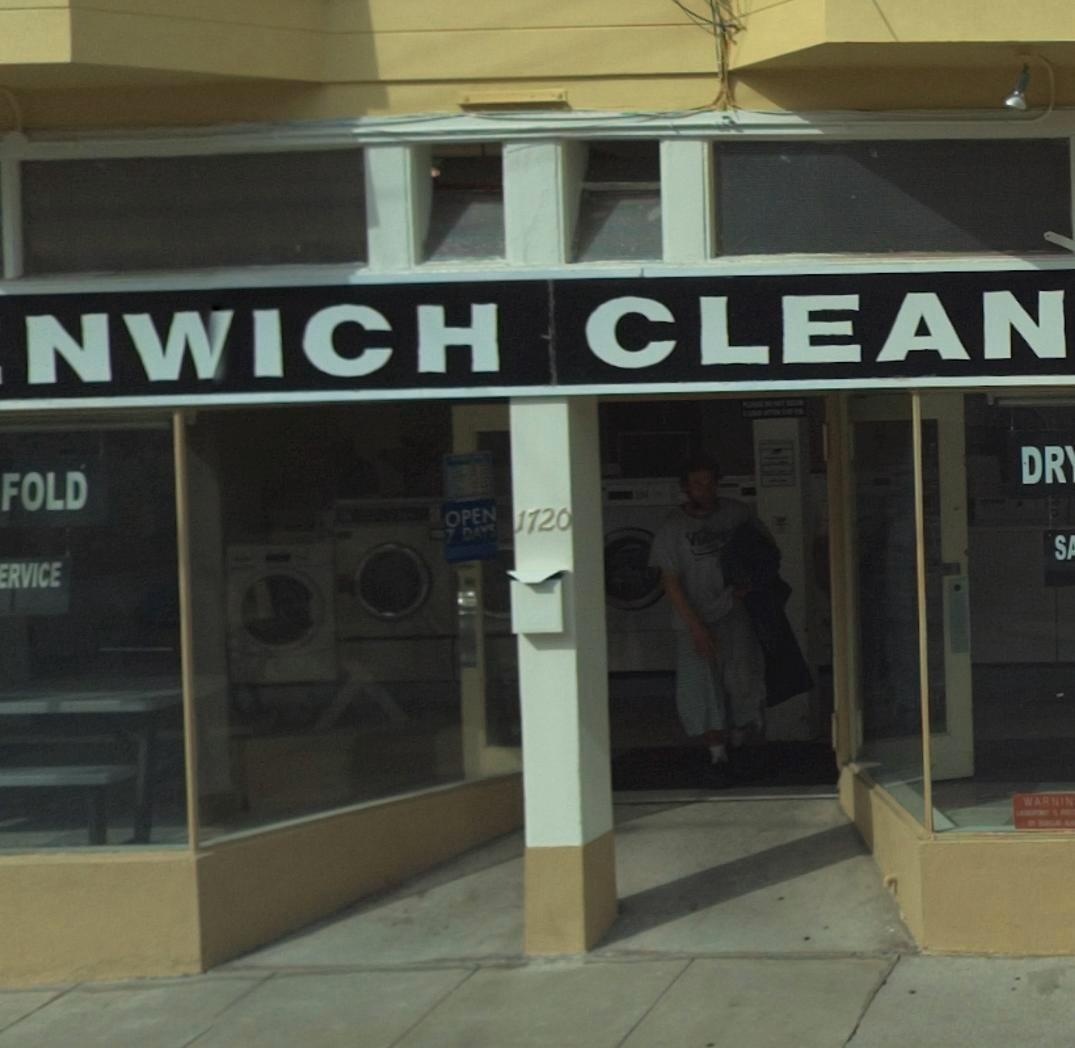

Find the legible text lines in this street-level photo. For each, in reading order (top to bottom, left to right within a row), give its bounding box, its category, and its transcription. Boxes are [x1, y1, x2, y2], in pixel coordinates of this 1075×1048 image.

[21, 284, 1073, 392] BusinessName: N*ICH CLEAN
[1018, 443, 1070, 487] None: DR
[0, 467, 91, 515] None: FOLD
[442, 502, 499, 530] None: OPEN
[442, 521, 500, 547] None: 7 DAYS
[513, 504, 576, 537] StreetNumber: 1720
[1052, 533, 1069, 563] None: S
[6, 559, 65, 590] None: RVICE